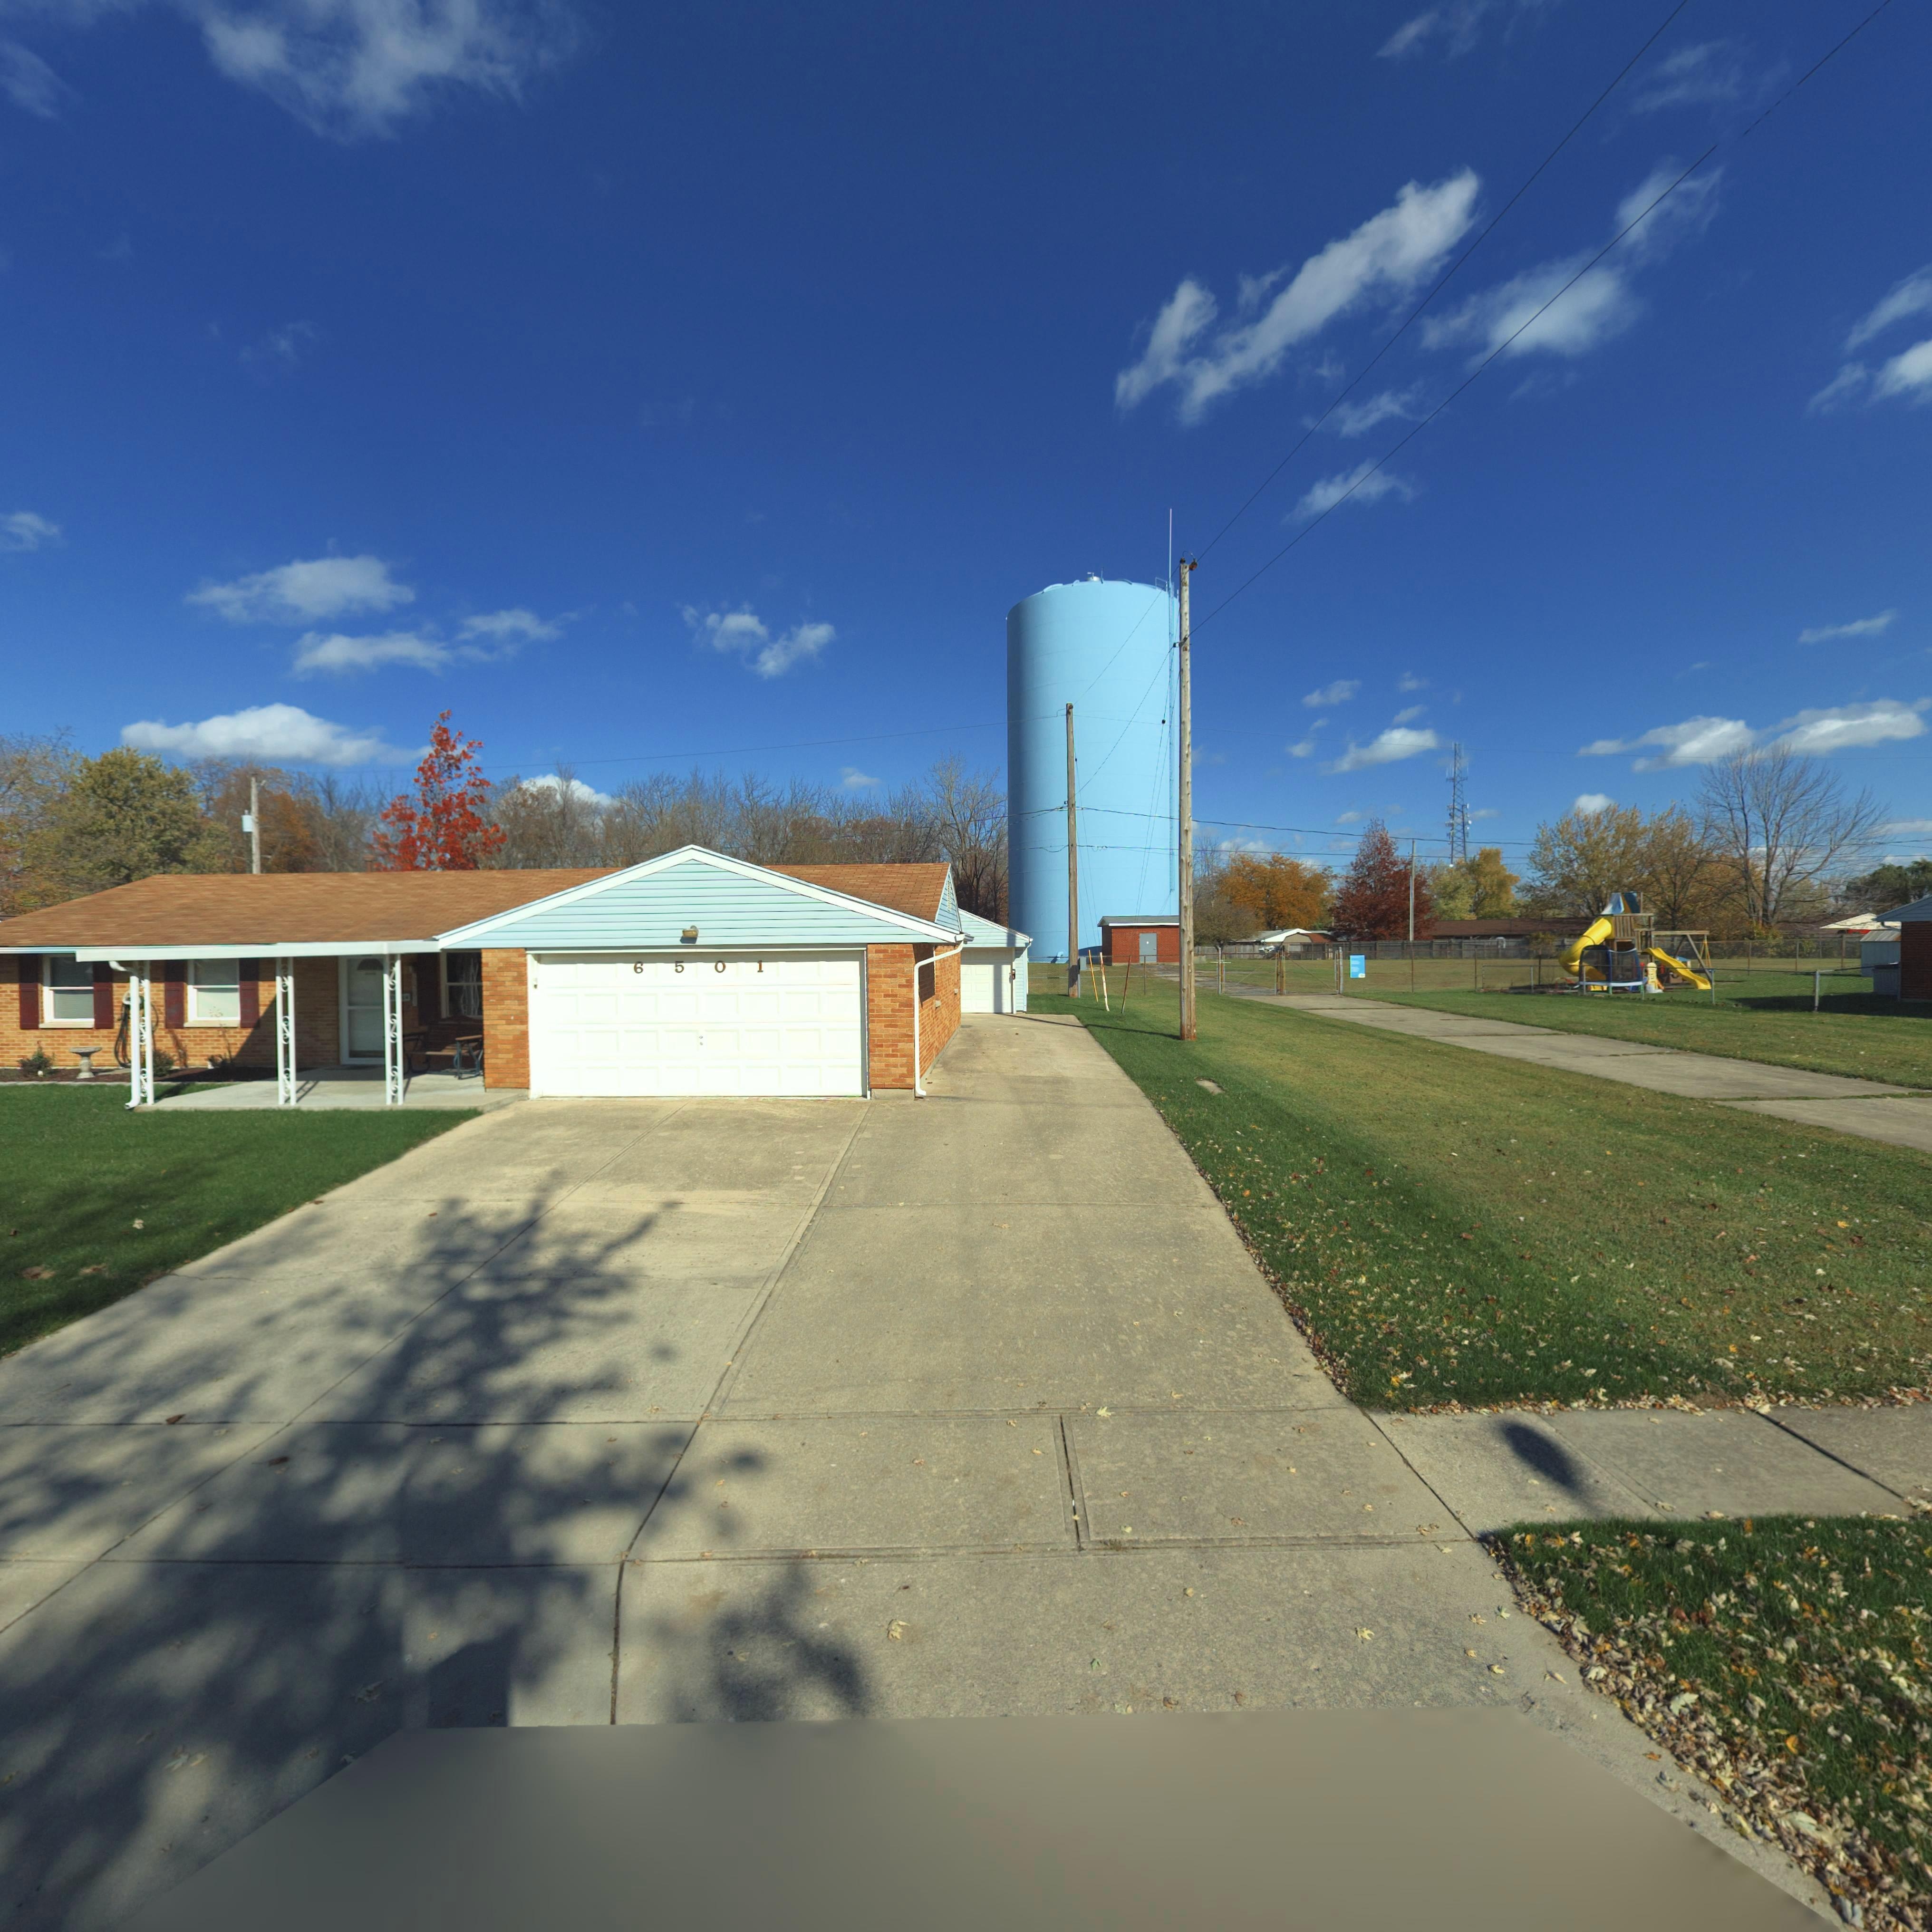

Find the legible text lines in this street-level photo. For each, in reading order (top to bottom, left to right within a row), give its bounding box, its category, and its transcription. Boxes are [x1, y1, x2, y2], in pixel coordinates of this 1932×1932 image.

[632, 959, 764, 975] StreetNumber: 6501
[412, 973, 417, 1006] StreetNumber: 6501